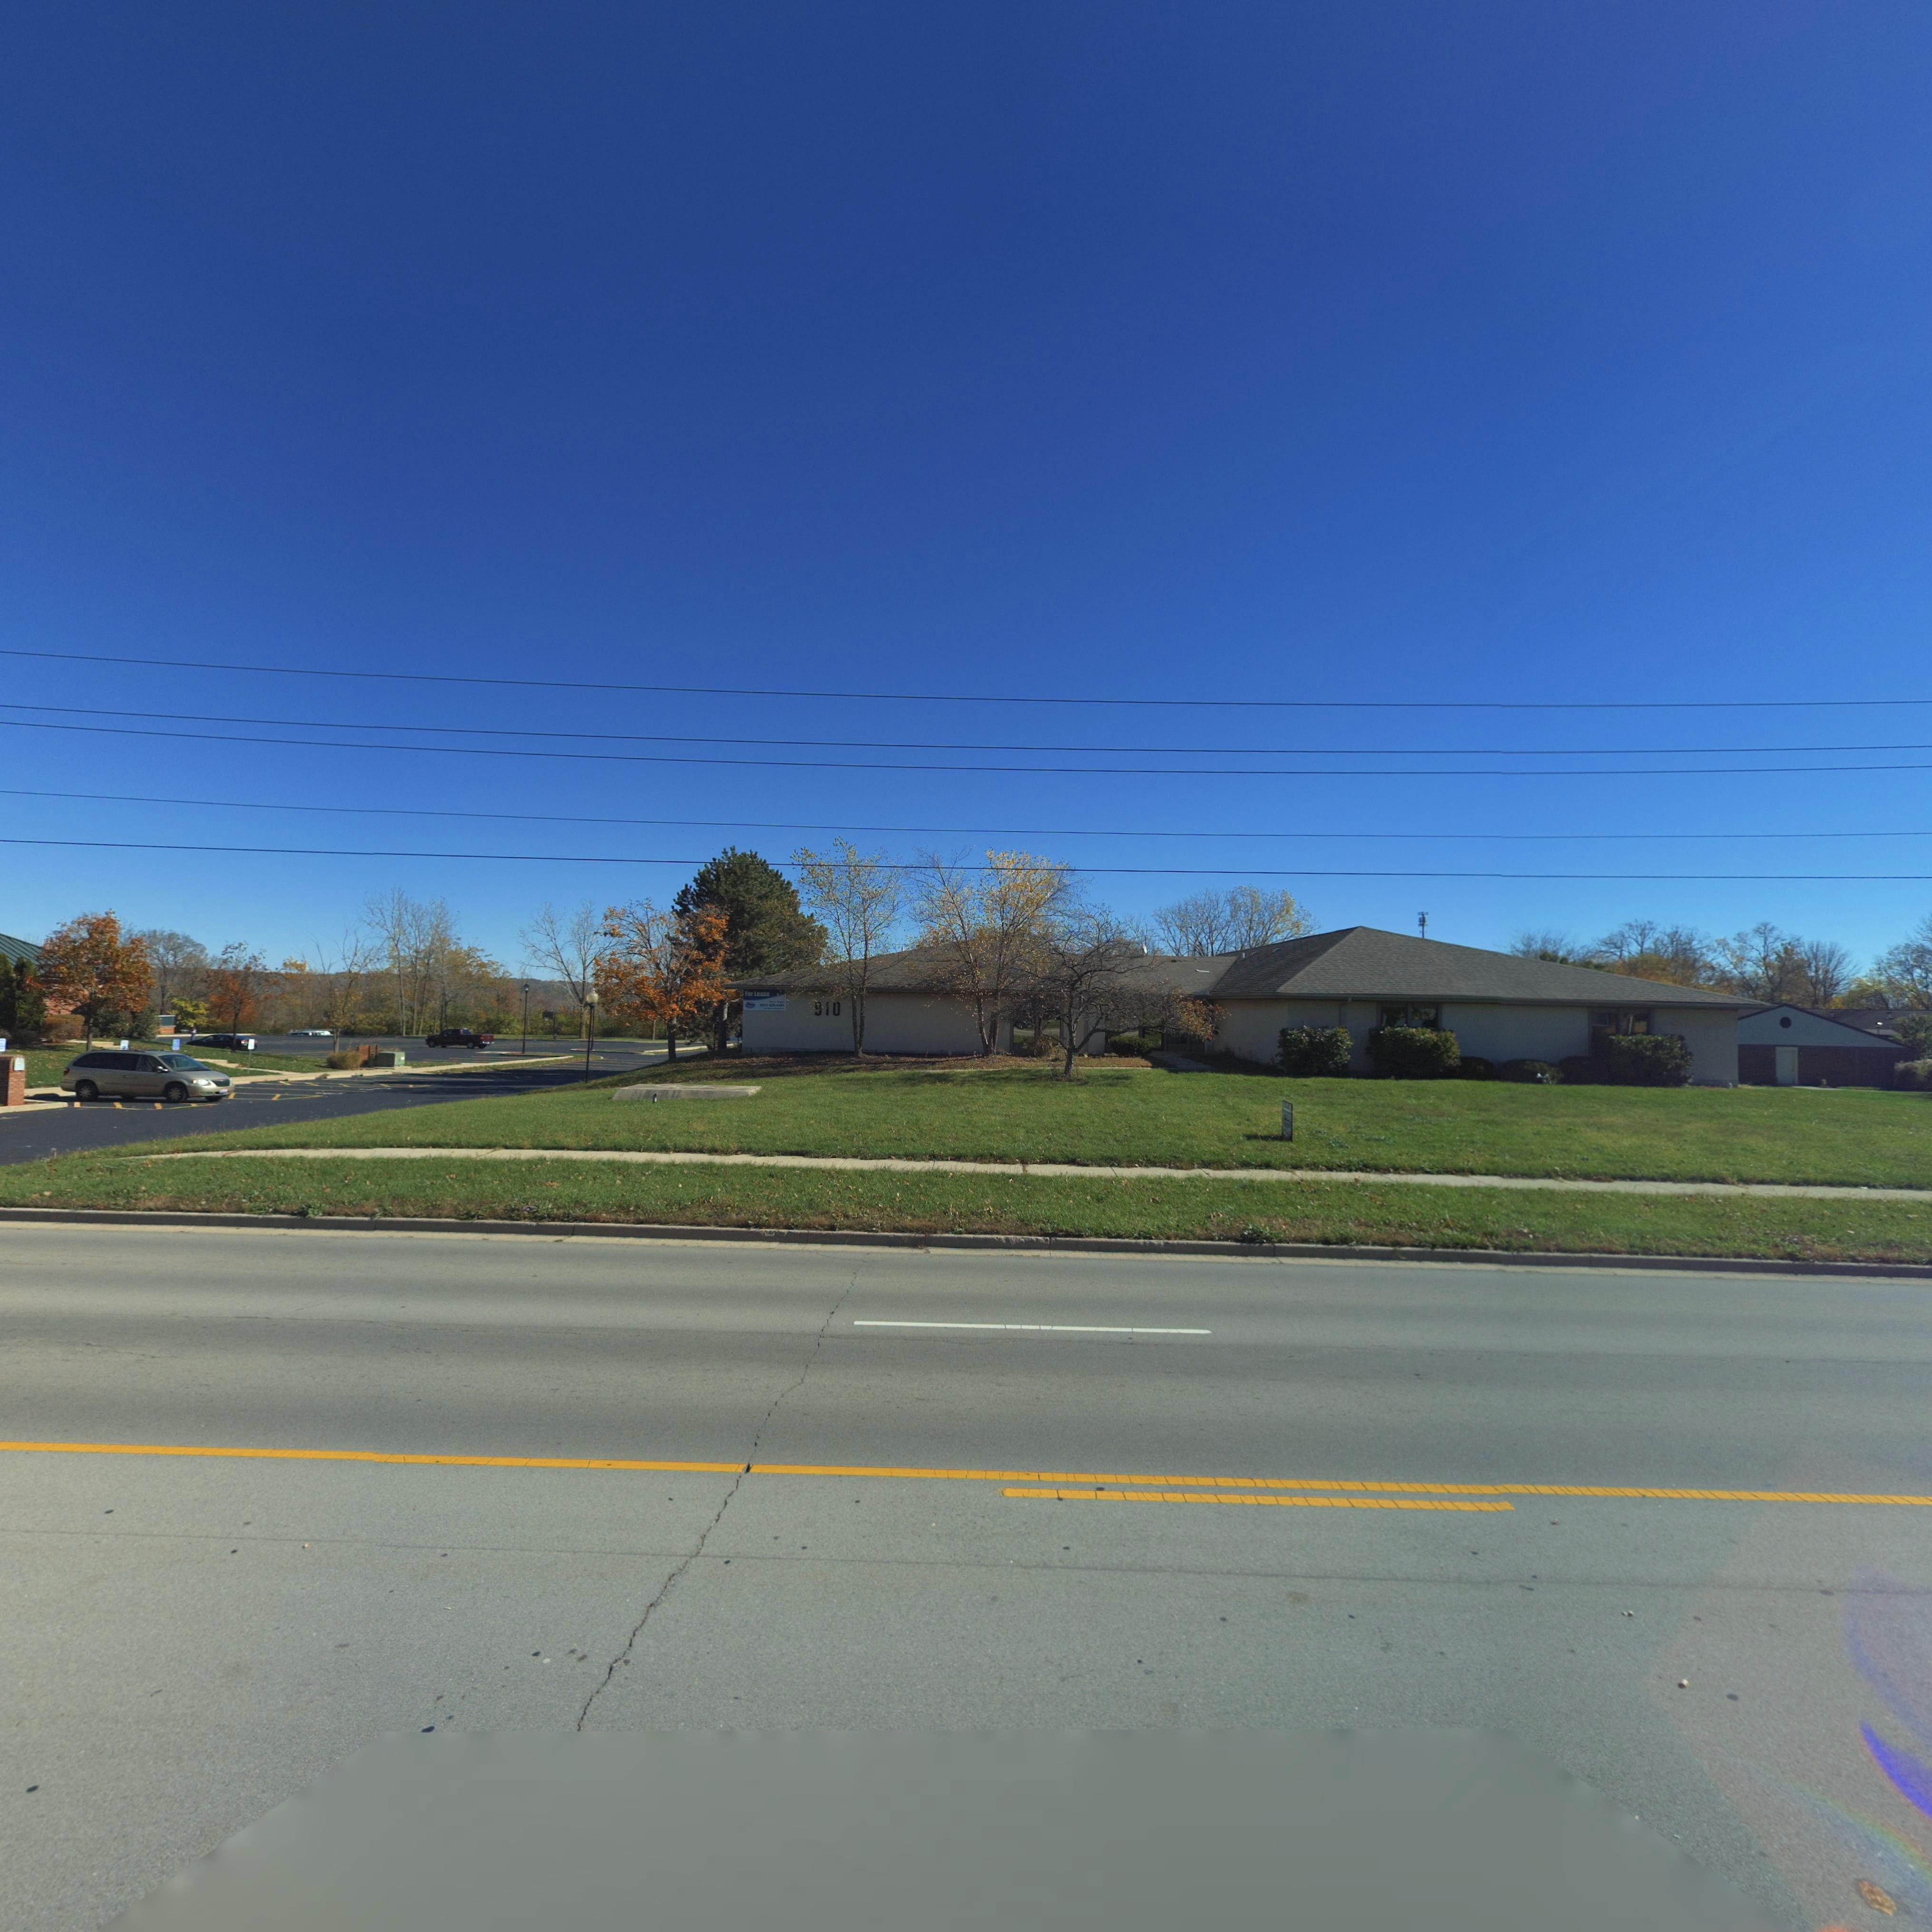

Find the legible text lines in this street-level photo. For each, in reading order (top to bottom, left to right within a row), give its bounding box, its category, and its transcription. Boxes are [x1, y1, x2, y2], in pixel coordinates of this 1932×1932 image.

[814, 1000, 841, 1017] StreetNumber: **0